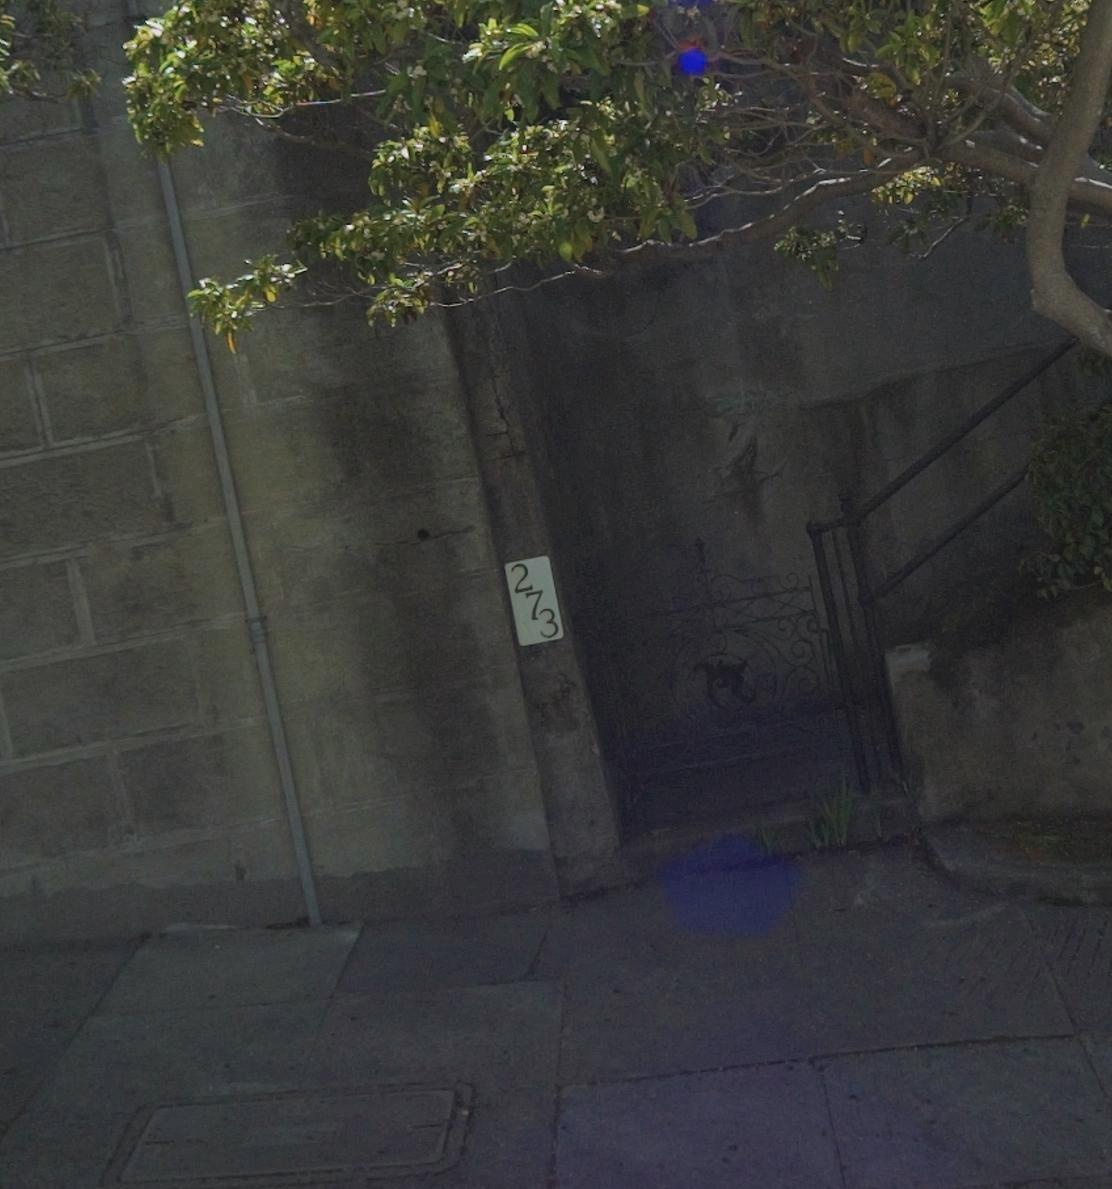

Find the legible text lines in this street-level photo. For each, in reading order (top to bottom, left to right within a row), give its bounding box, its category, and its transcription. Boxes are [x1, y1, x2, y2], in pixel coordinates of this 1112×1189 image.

[507, 557, 563, 644] StreetNumber: 273